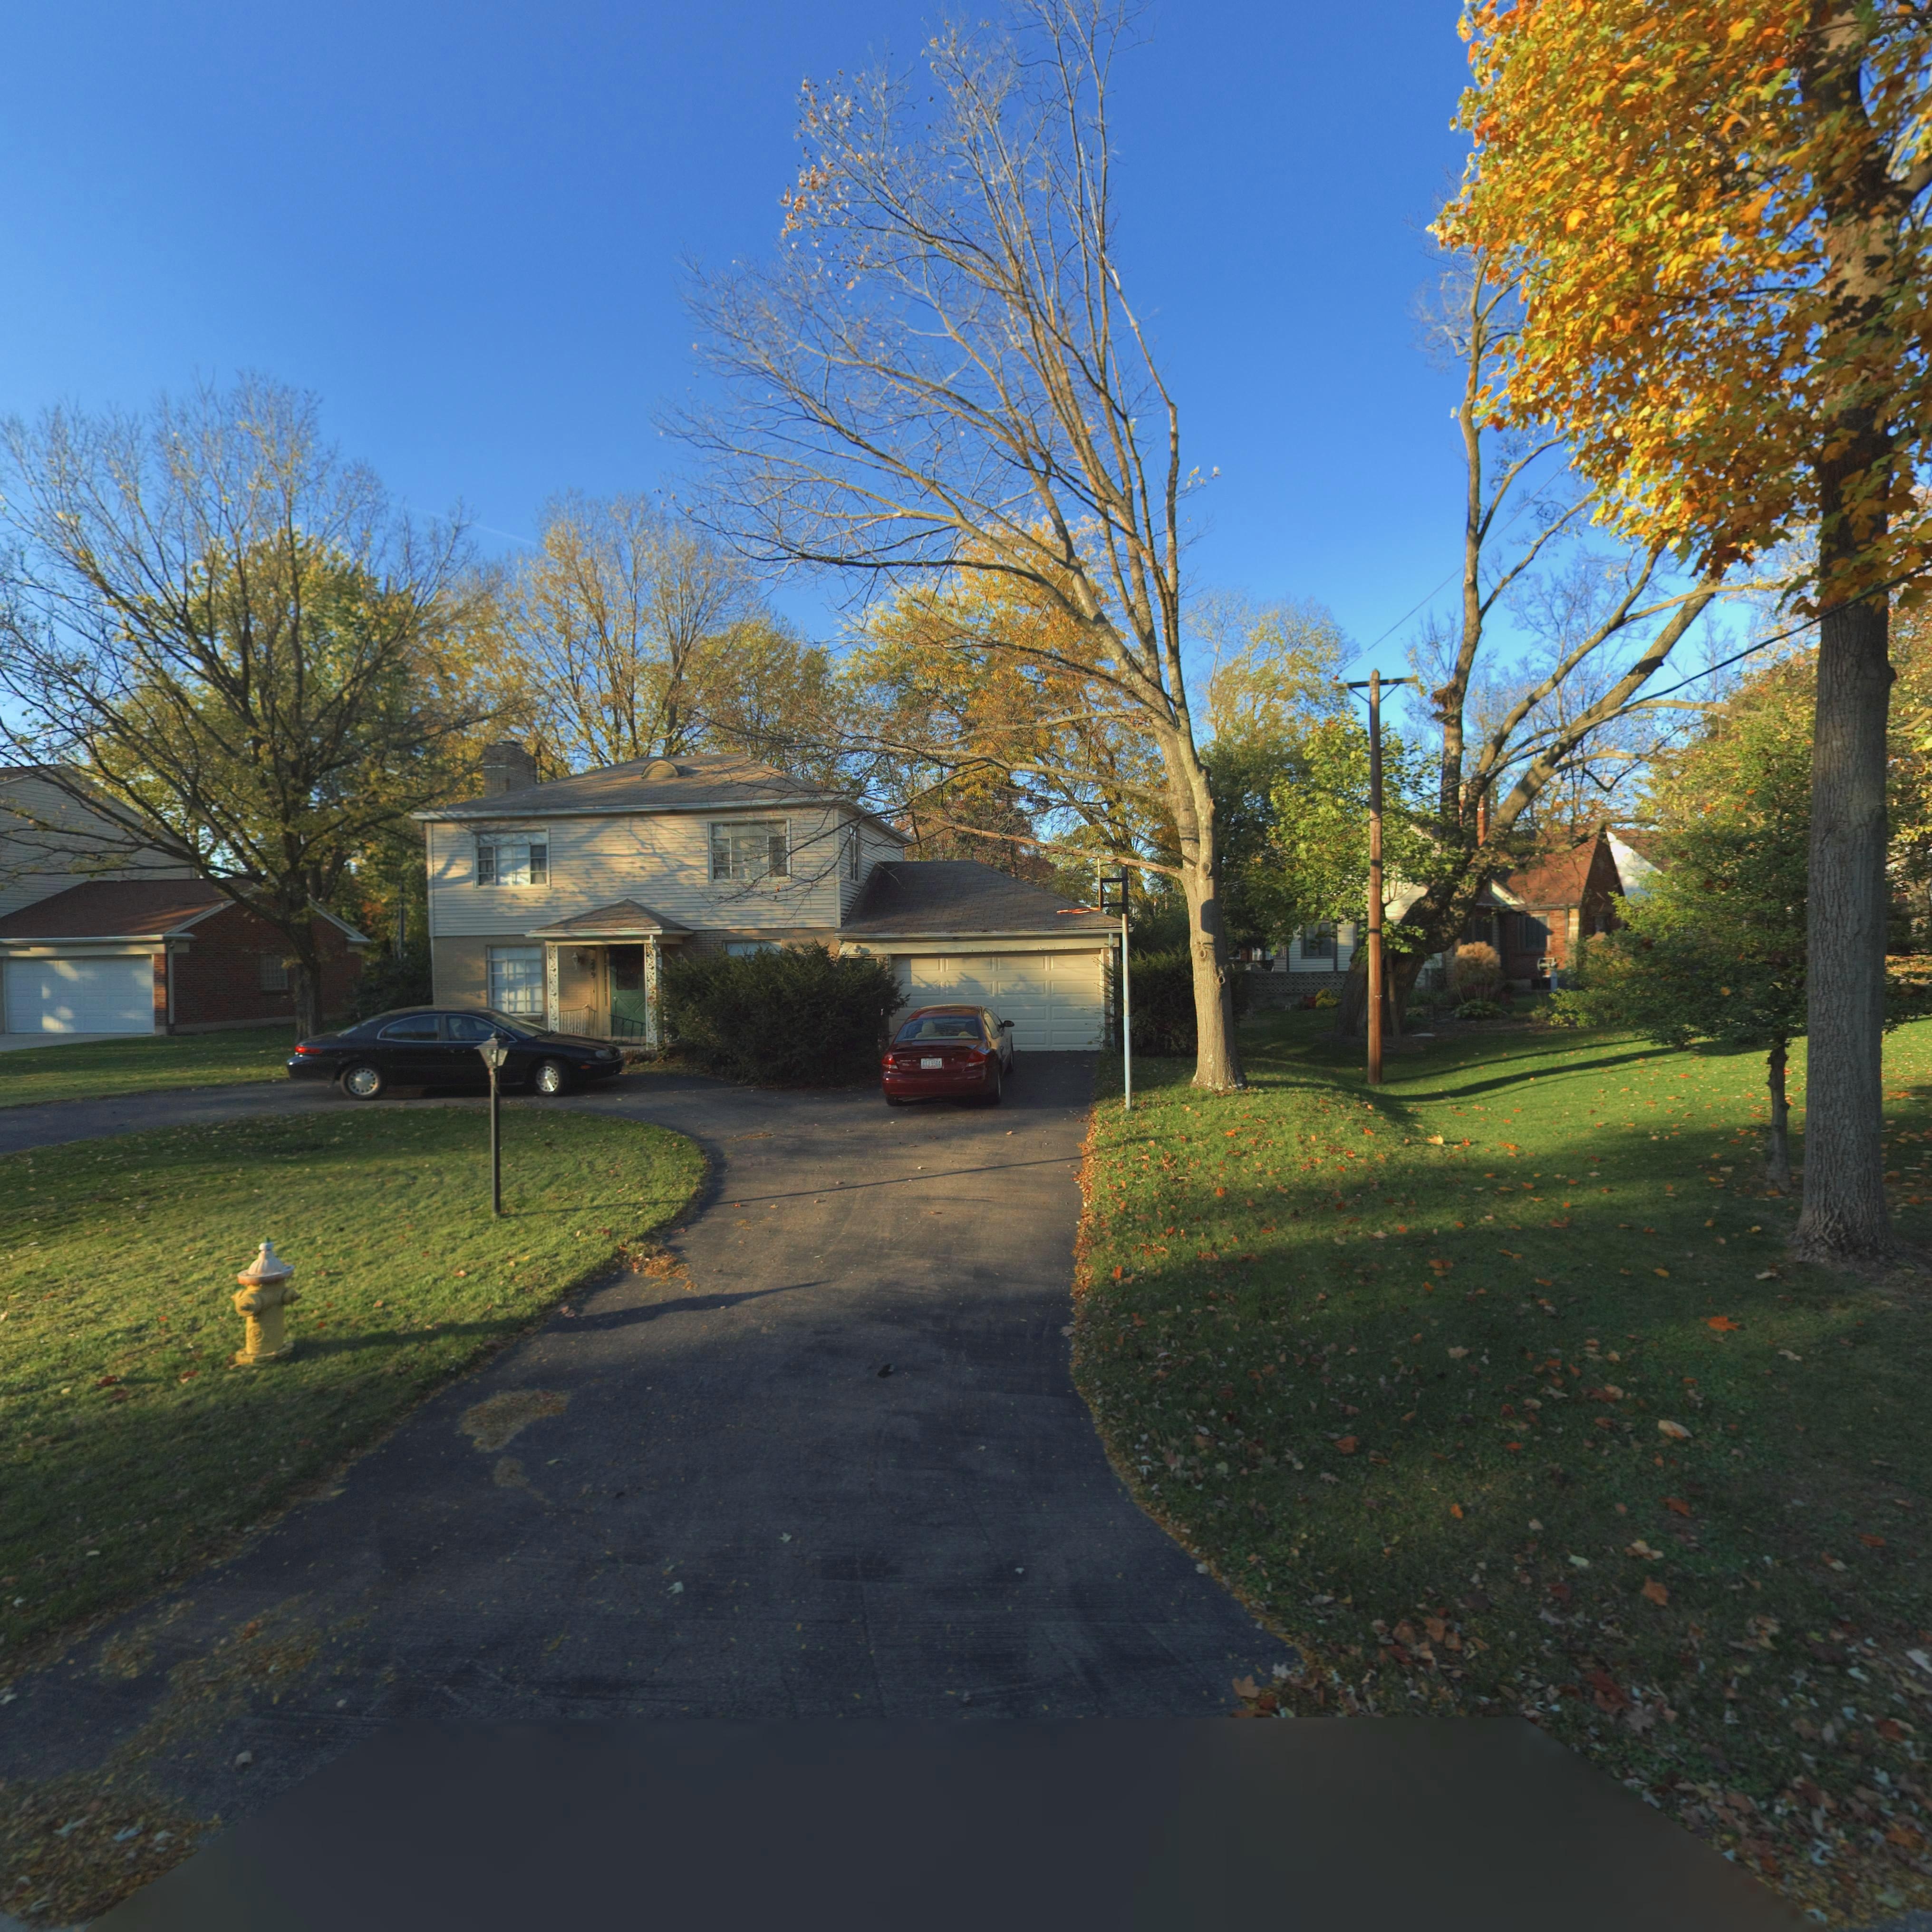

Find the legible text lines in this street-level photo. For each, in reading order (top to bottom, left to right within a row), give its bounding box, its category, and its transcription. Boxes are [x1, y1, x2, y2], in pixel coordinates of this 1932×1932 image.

[589, 958, 596, 979] StreetNumber: 249